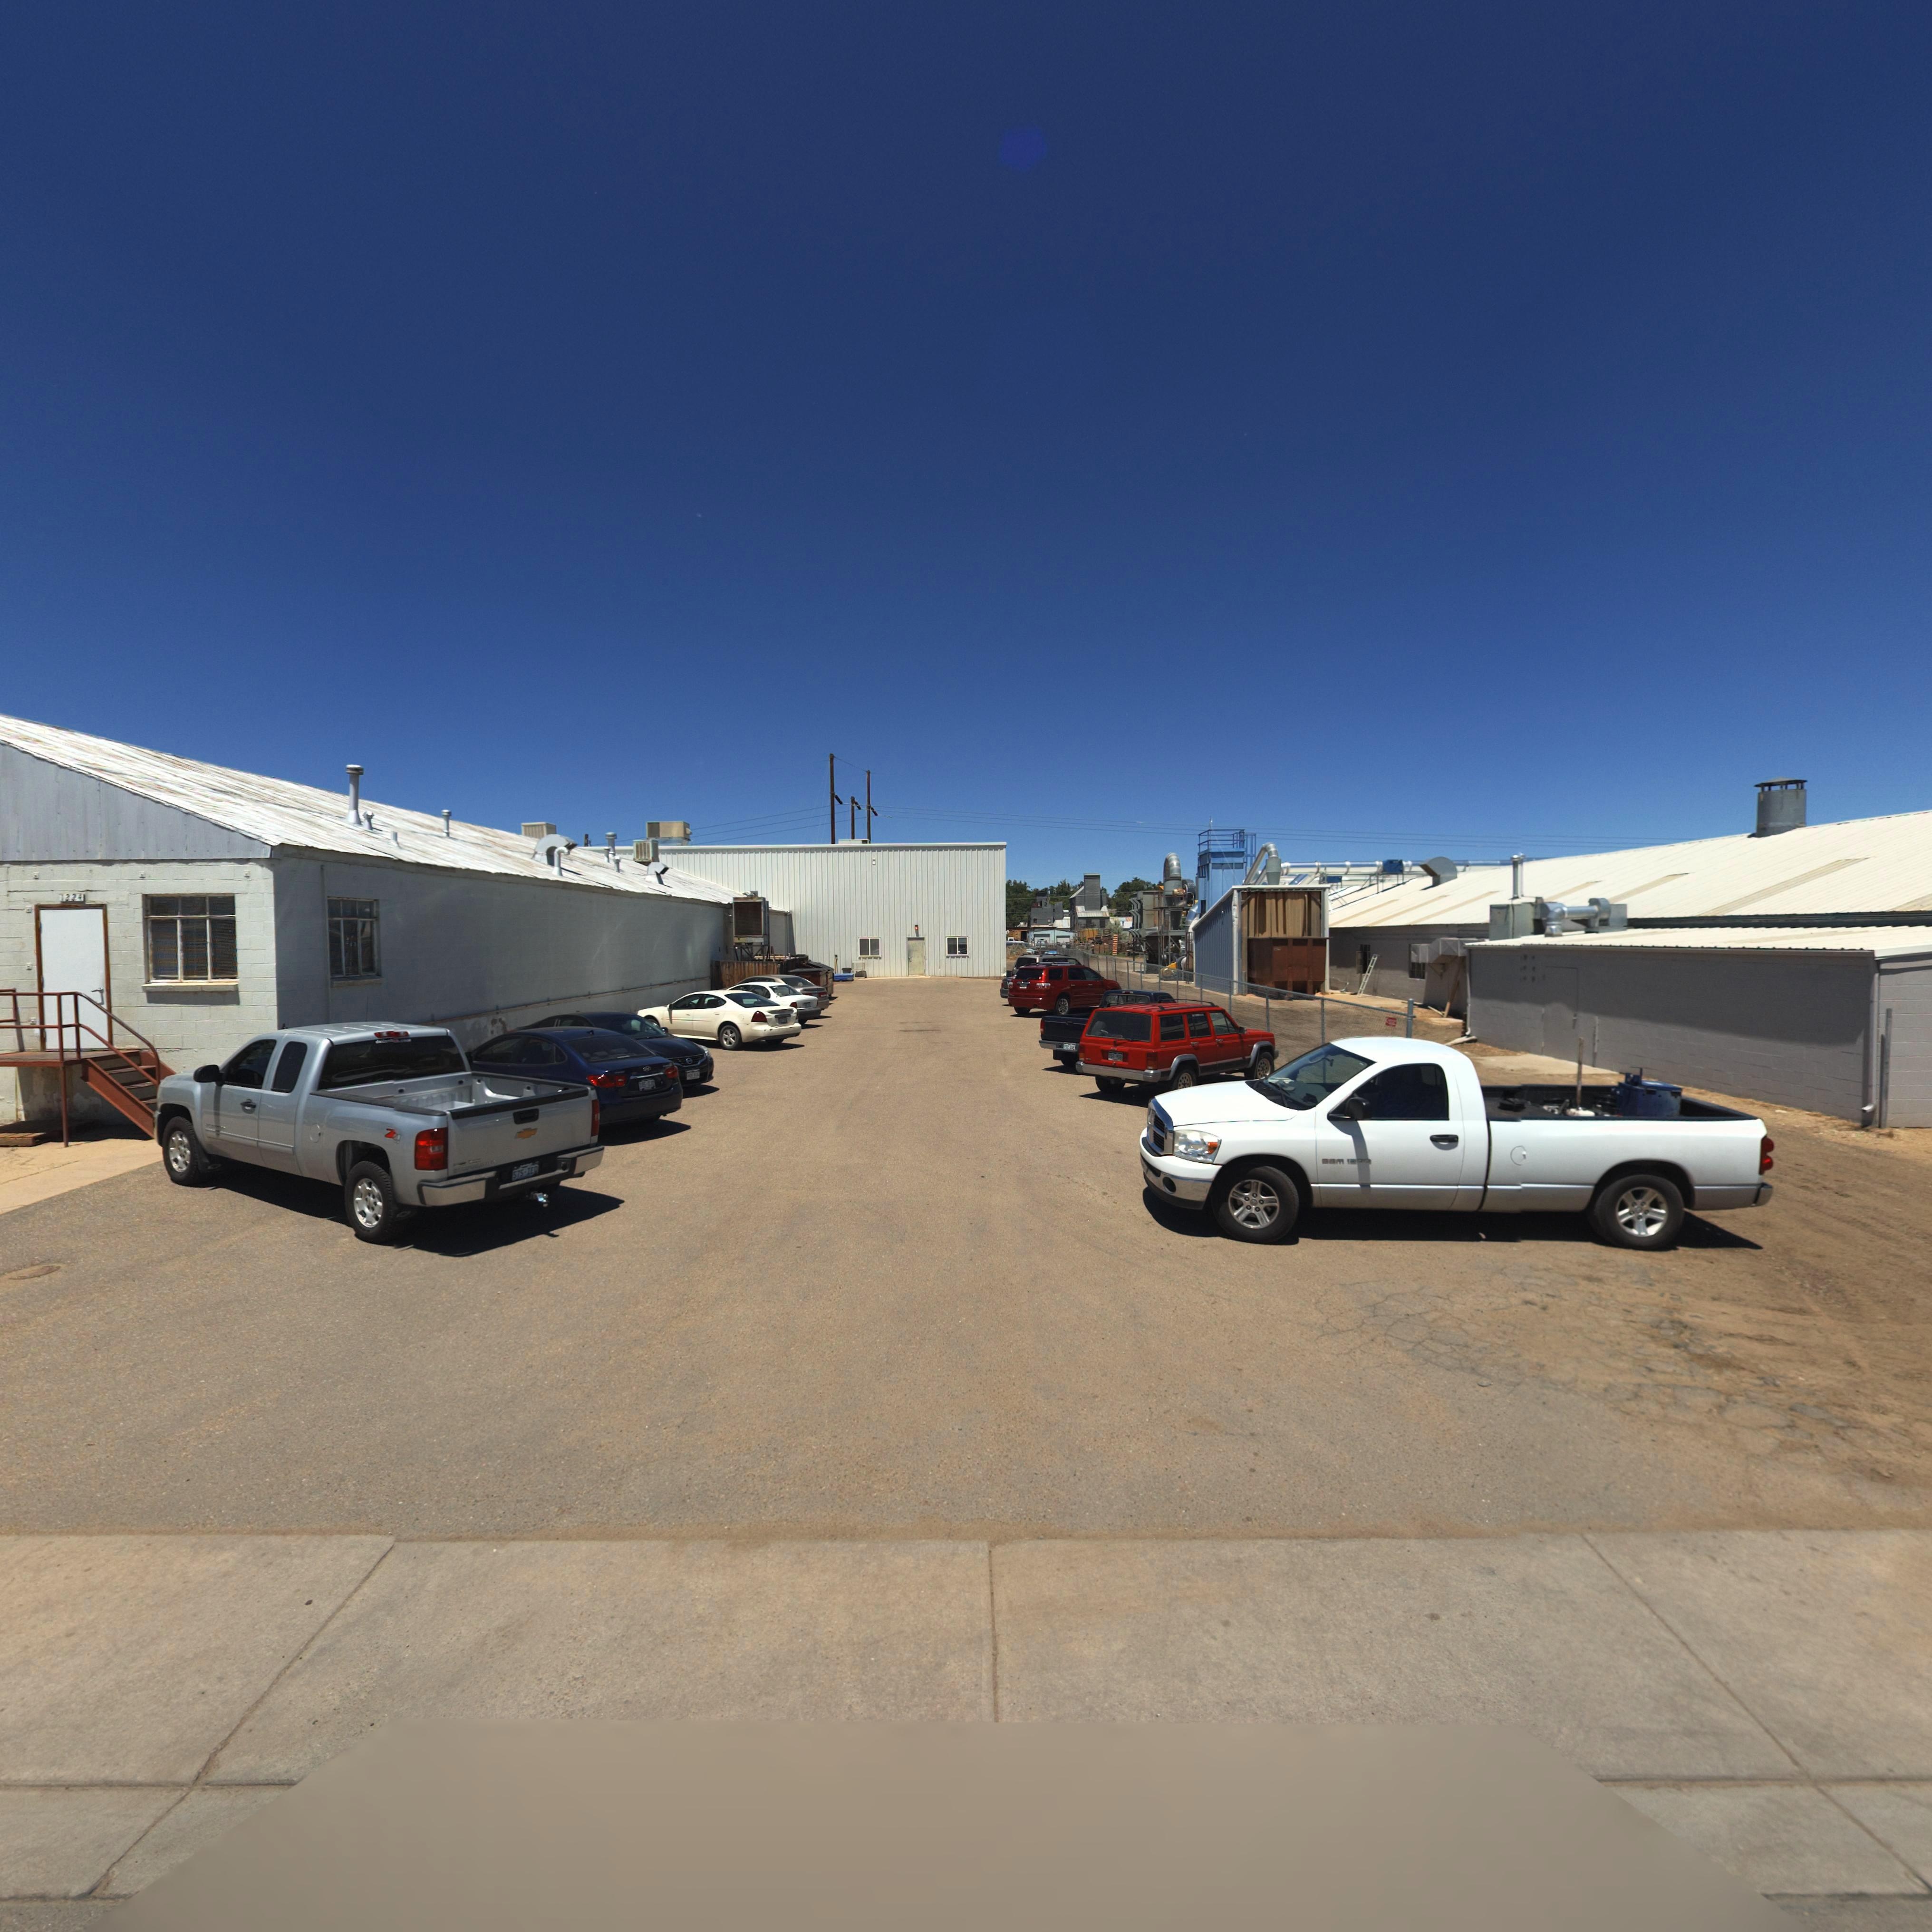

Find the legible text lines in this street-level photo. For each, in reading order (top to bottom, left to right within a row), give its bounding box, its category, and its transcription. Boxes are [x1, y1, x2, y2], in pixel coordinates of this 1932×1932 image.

[61, 893, 82, 902] StreetNumber: 1224